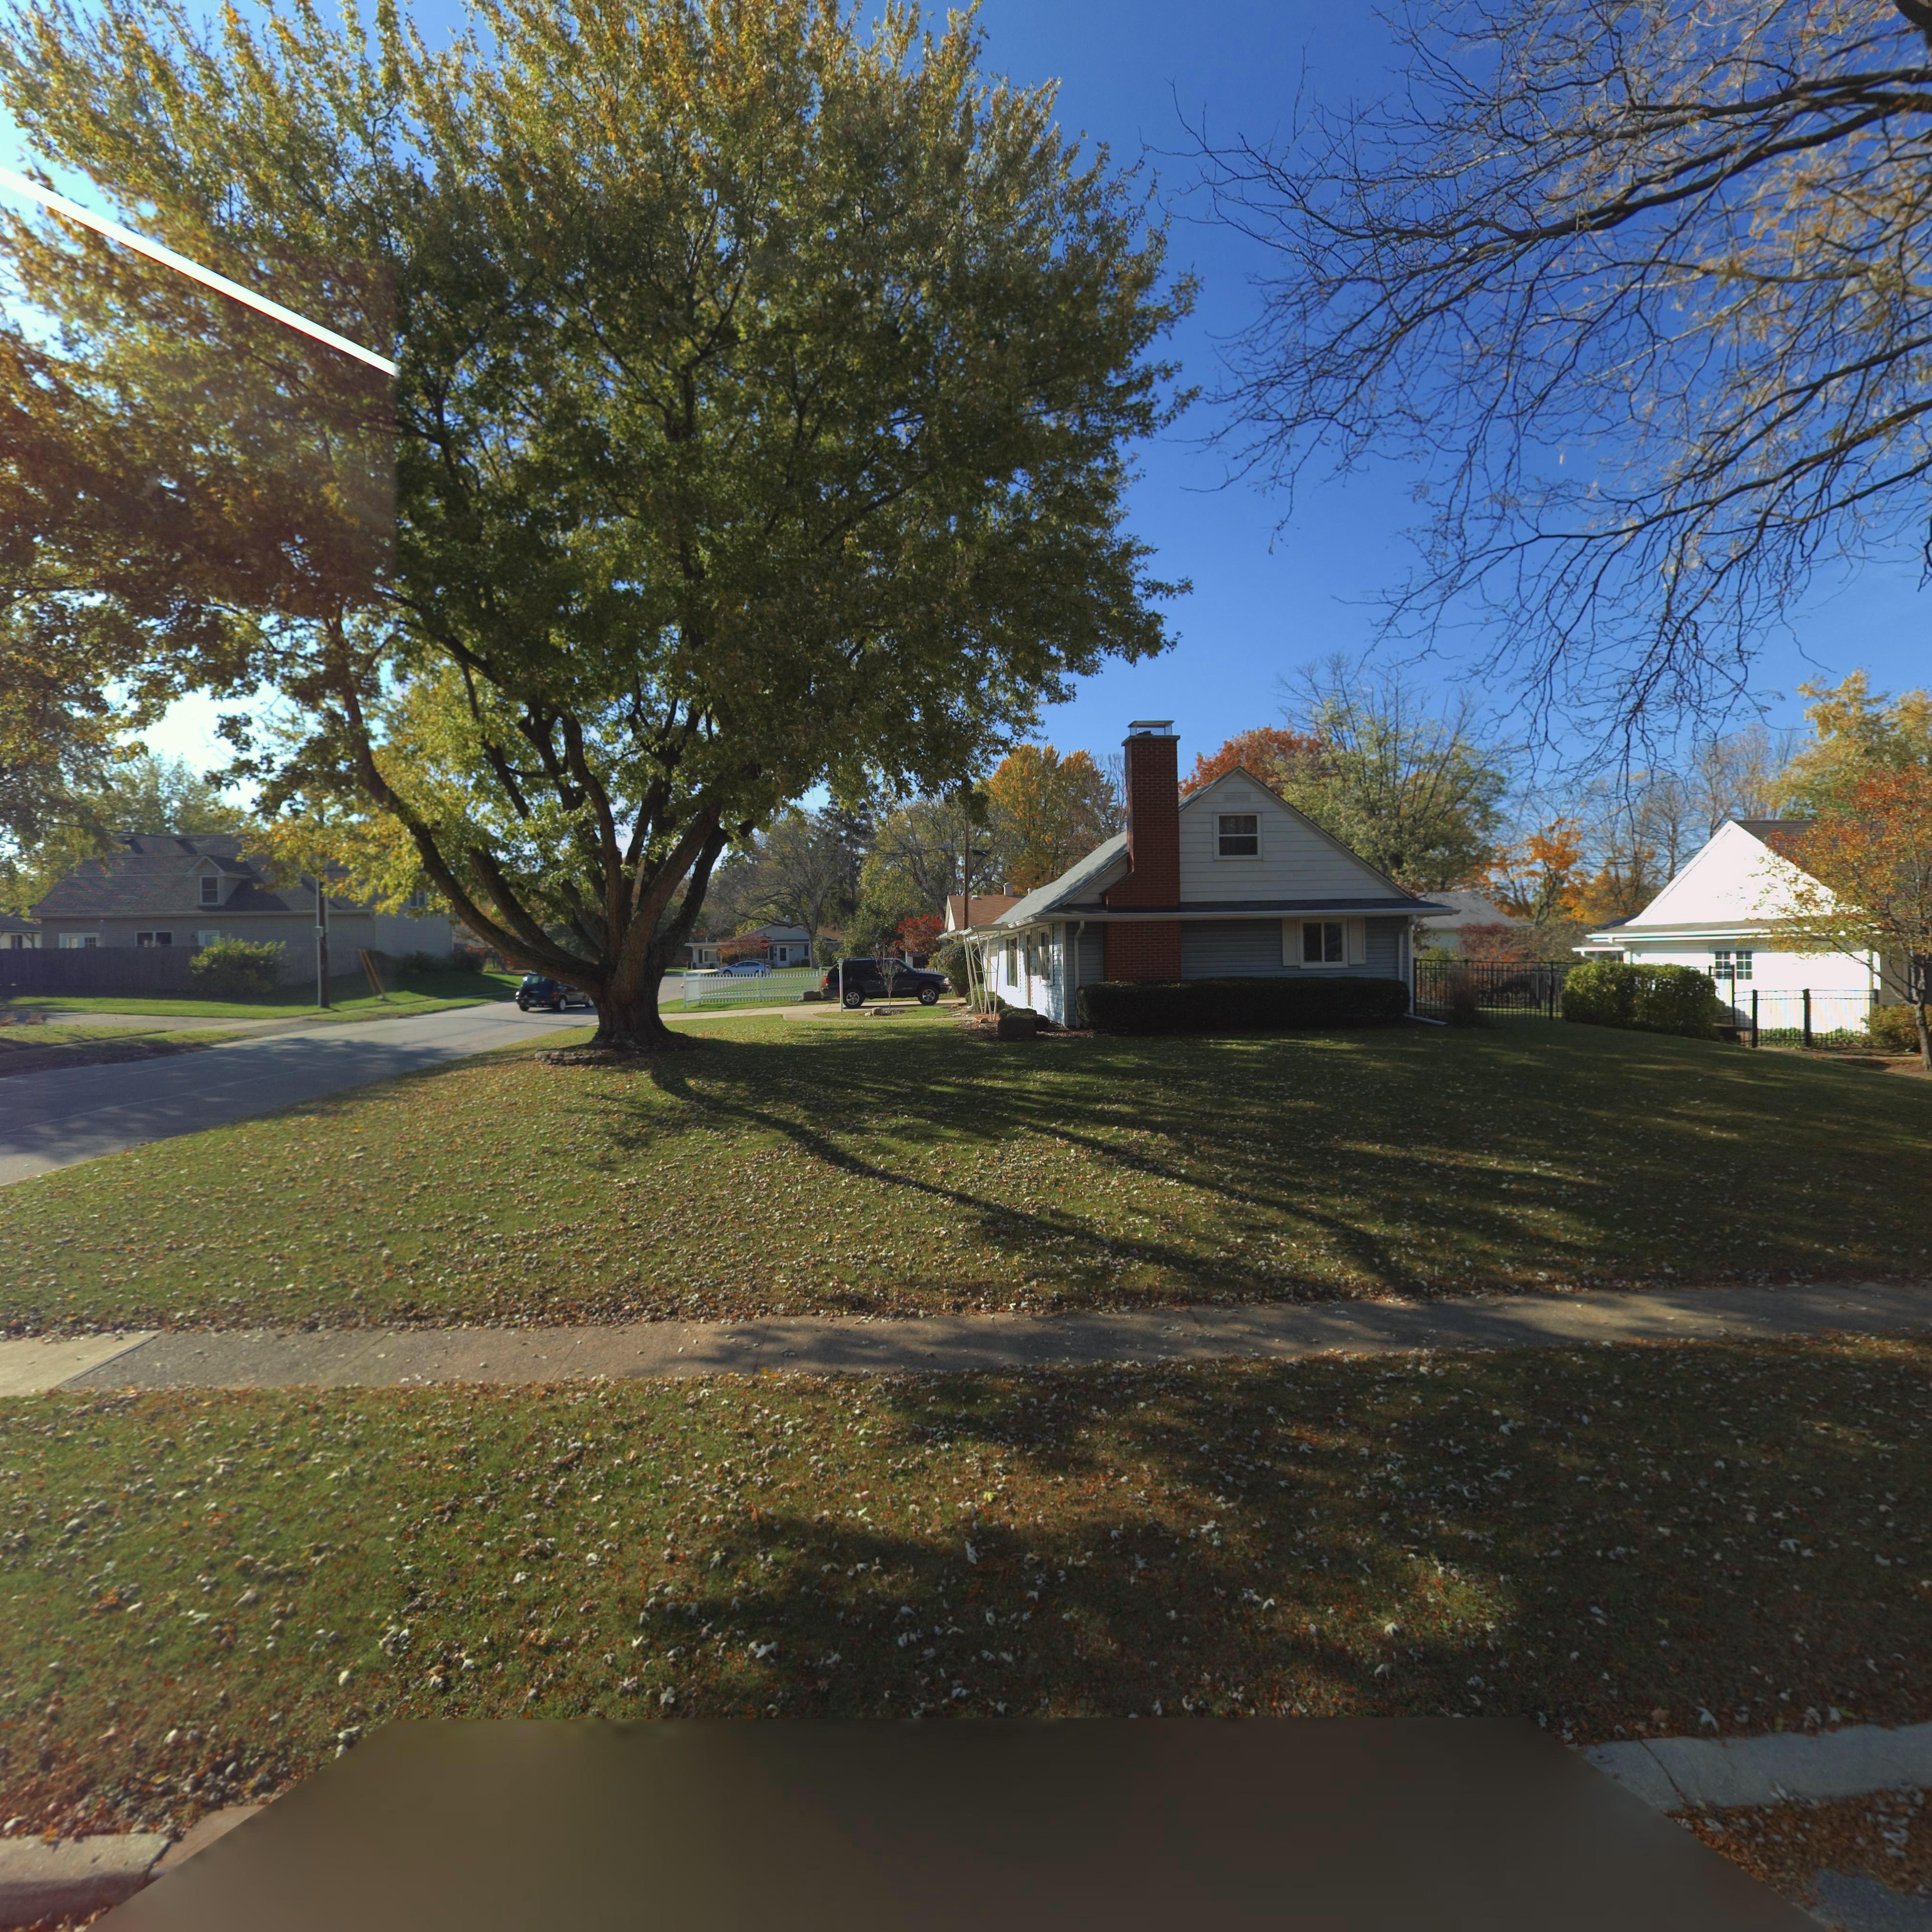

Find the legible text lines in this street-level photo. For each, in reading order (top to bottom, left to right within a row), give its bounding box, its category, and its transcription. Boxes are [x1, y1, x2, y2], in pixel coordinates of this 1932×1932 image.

[760, 943, 769, 947] None: STOP